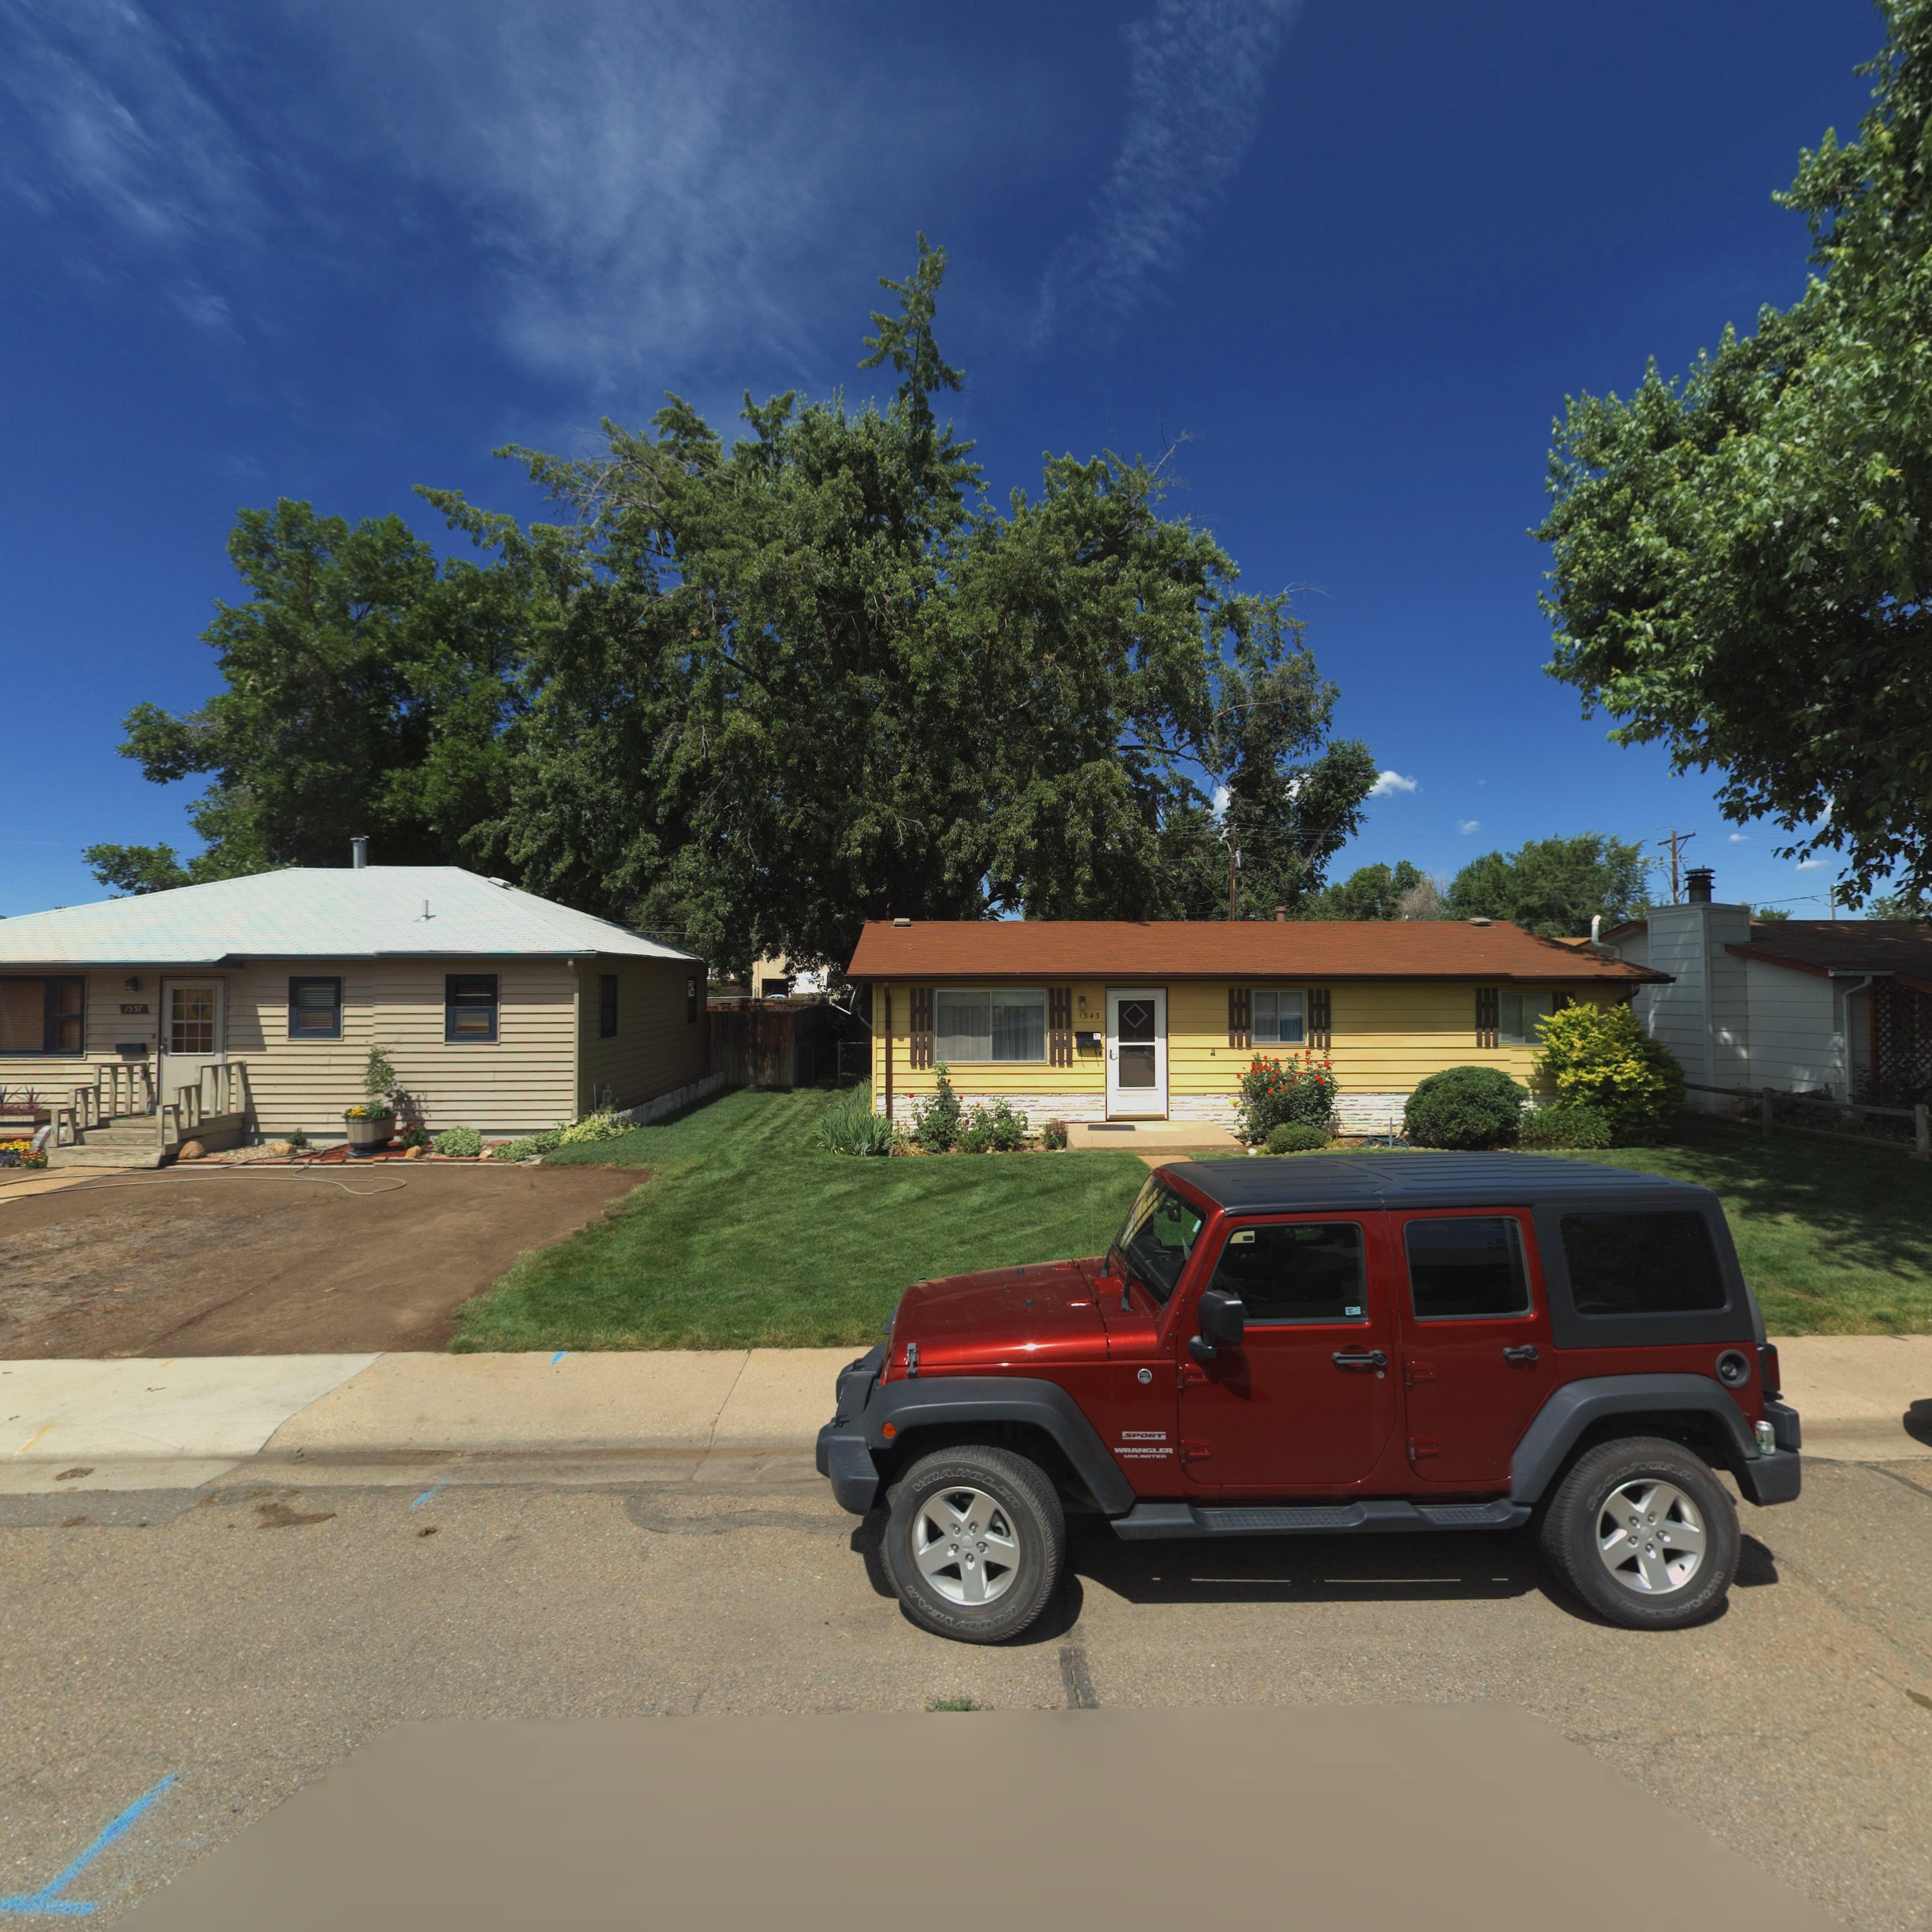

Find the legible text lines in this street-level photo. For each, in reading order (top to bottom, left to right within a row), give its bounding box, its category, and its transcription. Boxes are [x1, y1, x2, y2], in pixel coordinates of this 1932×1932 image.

[123, 1005, 143, 1012] StreetNumber: 1537
[1079, 1012, 1100, 1019] StreetNumber: 1543